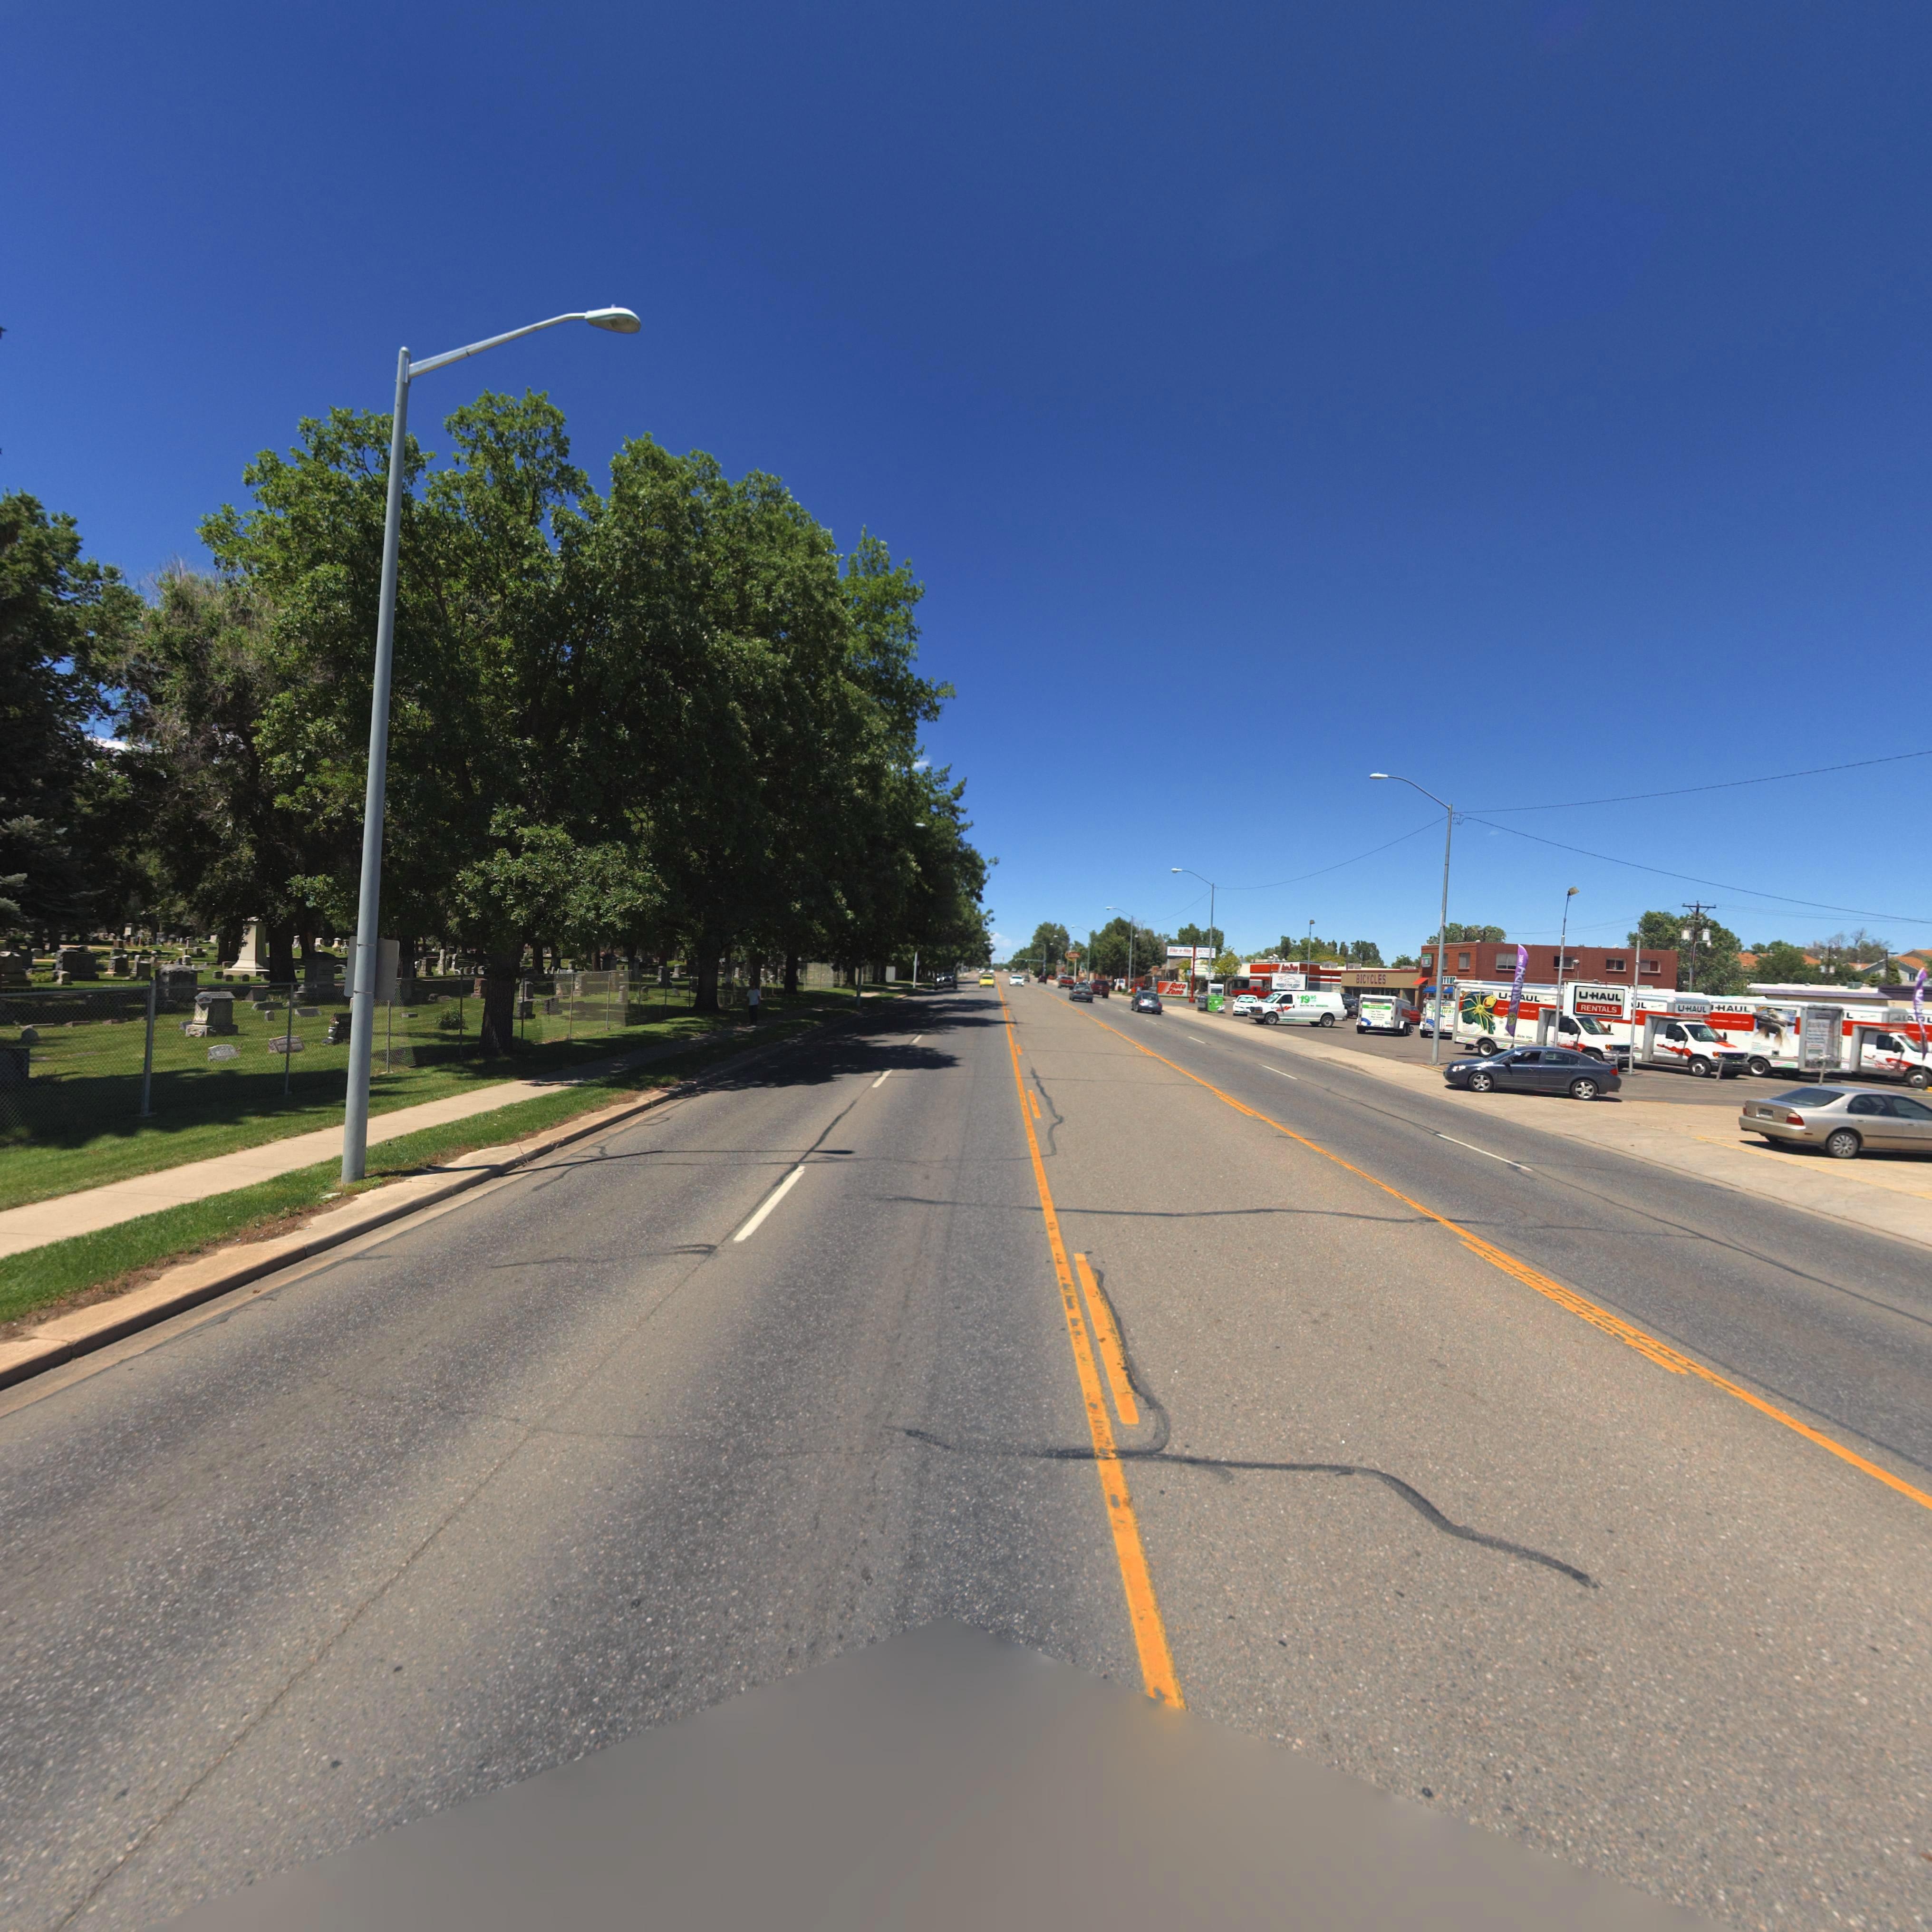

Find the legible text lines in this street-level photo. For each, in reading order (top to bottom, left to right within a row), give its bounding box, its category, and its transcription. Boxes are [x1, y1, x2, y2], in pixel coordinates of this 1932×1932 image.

[1169, 947, 1192, 953] BusinessName: B***-*-H***
[1280, 964, 1298, 970] BusinessName: A*** Z***
[1168, 982, 1187, 988] BusinessName: Auto
[1166, 987, 1184, 995] BusinessName: Zone
[1577, 990, 1622, 1002] BusinessName: UHAUL
[1581, 1004, 1617, 1013] BusinessName: RENTALS